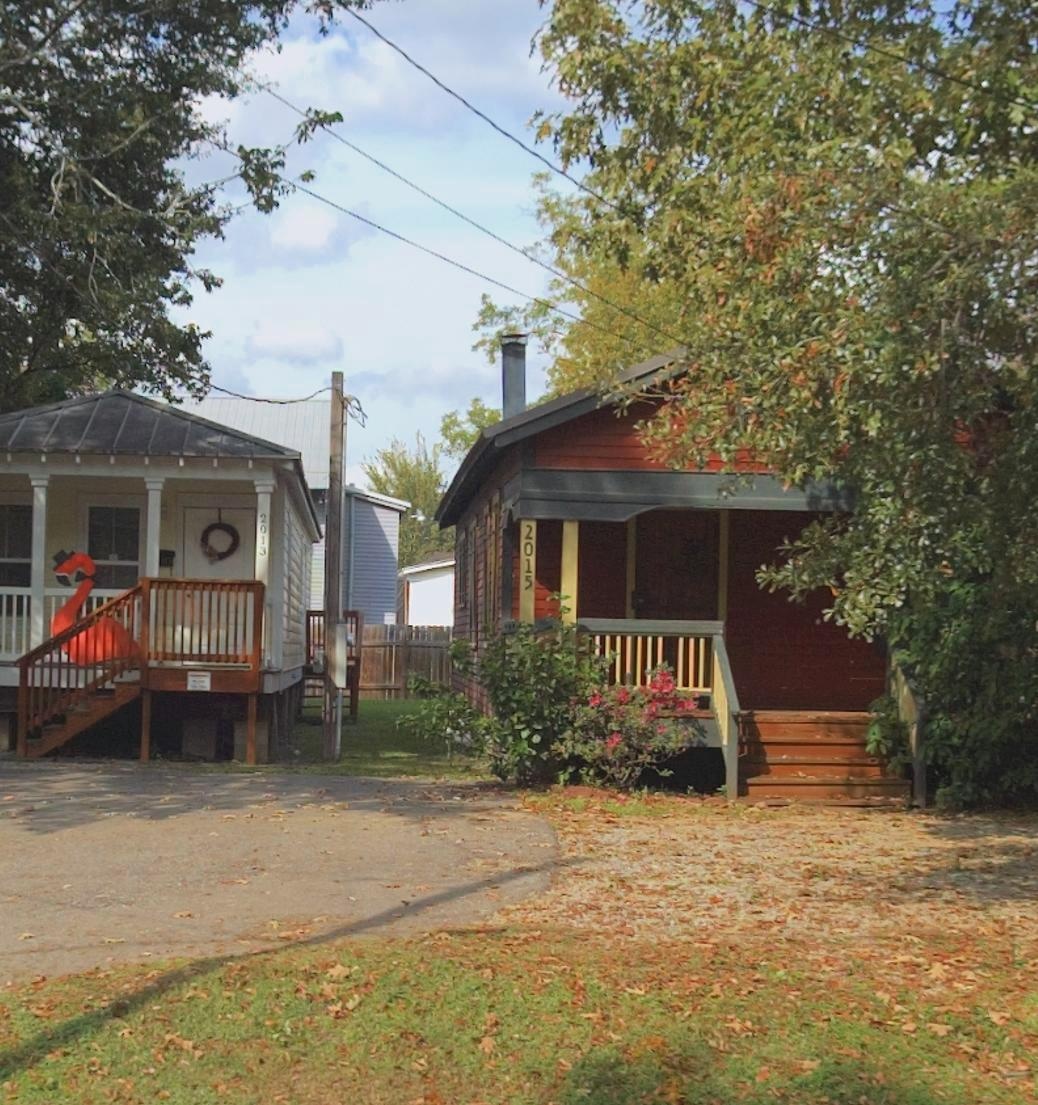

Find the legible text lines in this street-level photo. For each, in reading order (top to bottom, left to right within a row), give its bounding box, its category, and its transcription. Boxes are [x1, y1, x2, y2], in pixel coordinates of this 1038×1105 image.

[258, 512, 269, 559] StreetNumber: 2013
[520, 518, 538, 594] StreetNumber: 2015